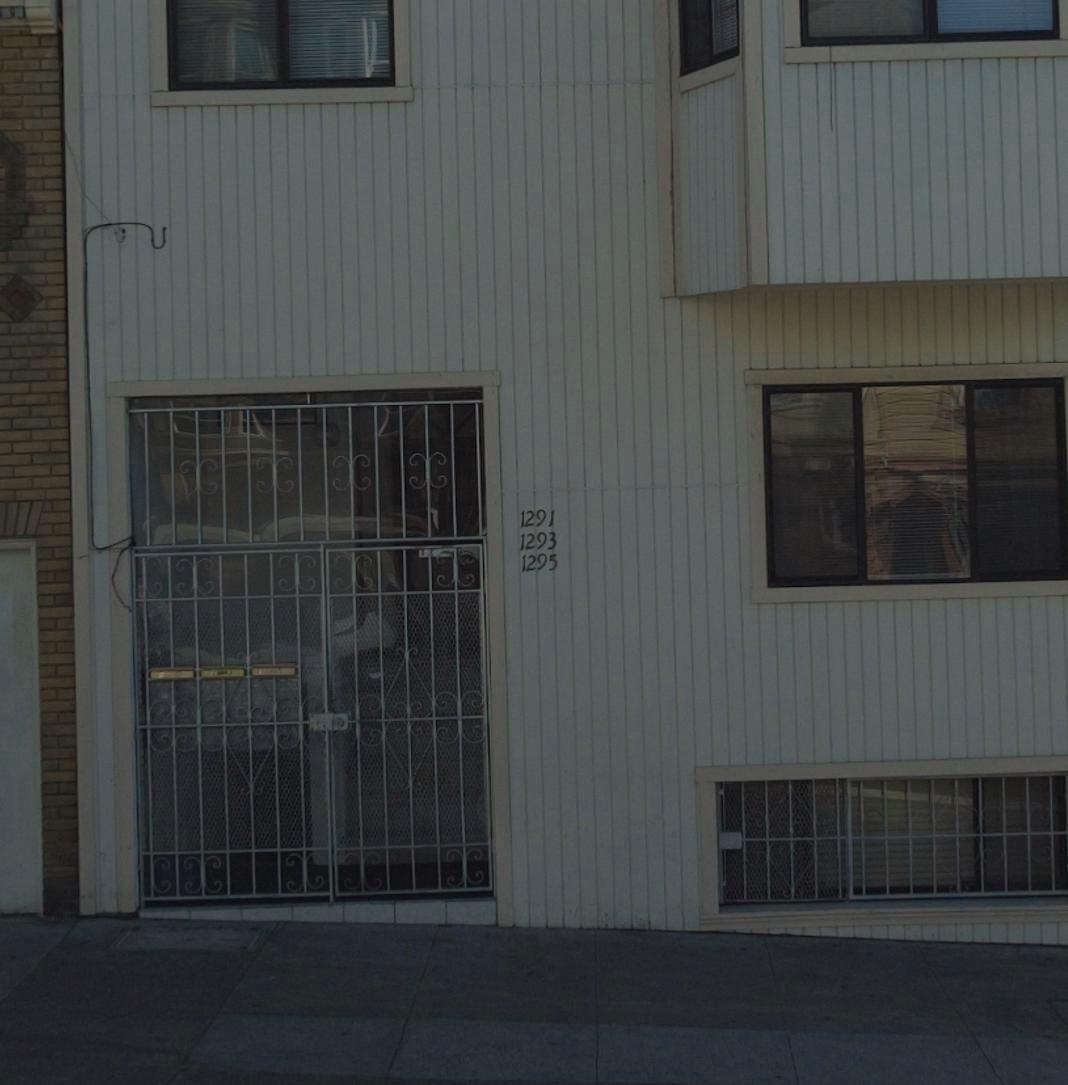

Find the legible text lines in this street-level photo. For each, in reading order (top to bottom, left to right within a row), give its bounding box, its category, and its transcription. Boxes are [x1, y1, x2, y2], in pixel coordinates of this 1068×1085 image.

[519, 507, 557, 530] StreetNumber: 1291
[518, 529, 559, 552] StreetNumber: 1293
[519, 552, 559, 574] StreetNumber: 1295